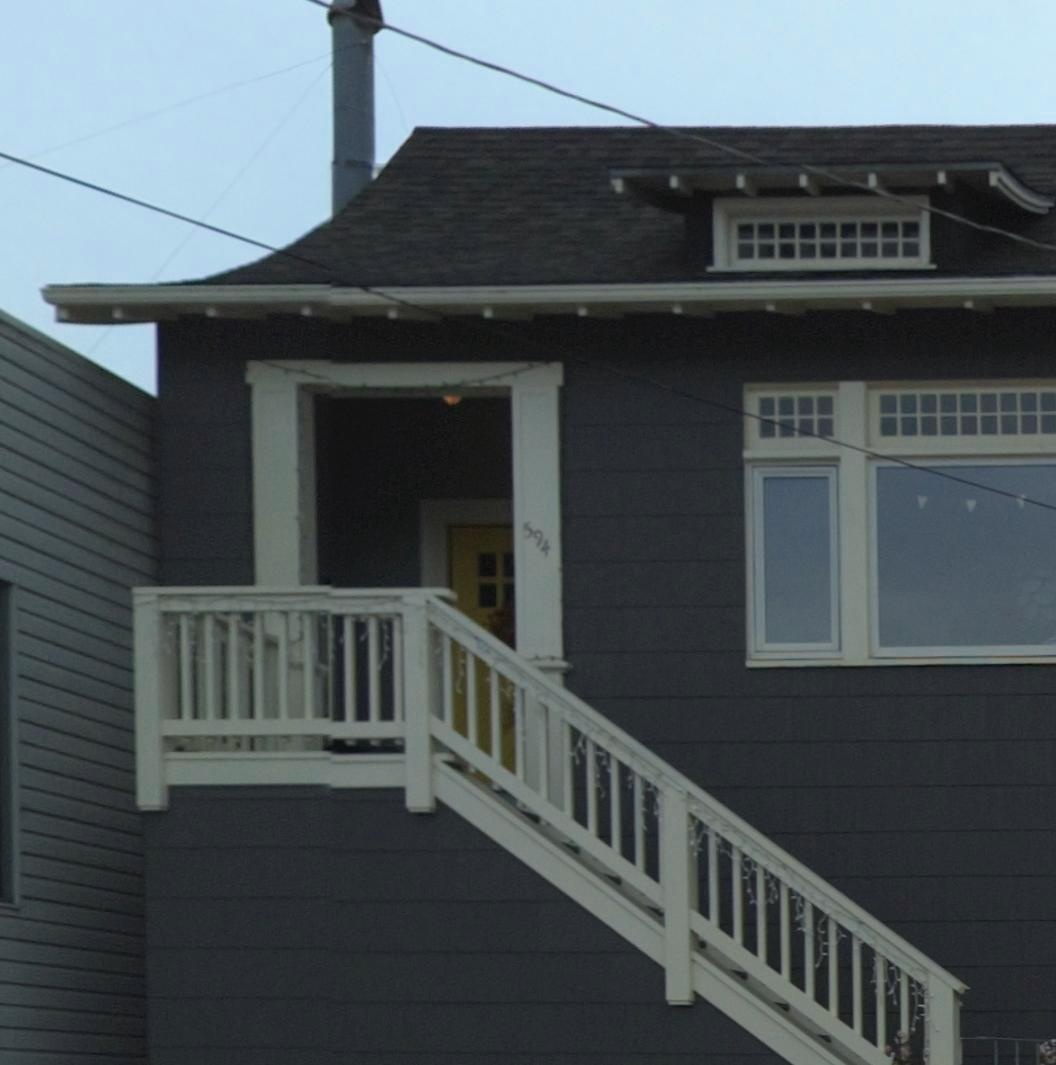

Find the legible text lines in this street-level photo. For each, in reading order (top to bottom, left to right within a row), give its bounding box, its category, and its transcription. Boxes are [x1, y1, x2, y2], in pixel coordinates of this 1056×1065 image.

[522, 519, 551, 558] StreetNumber: 594